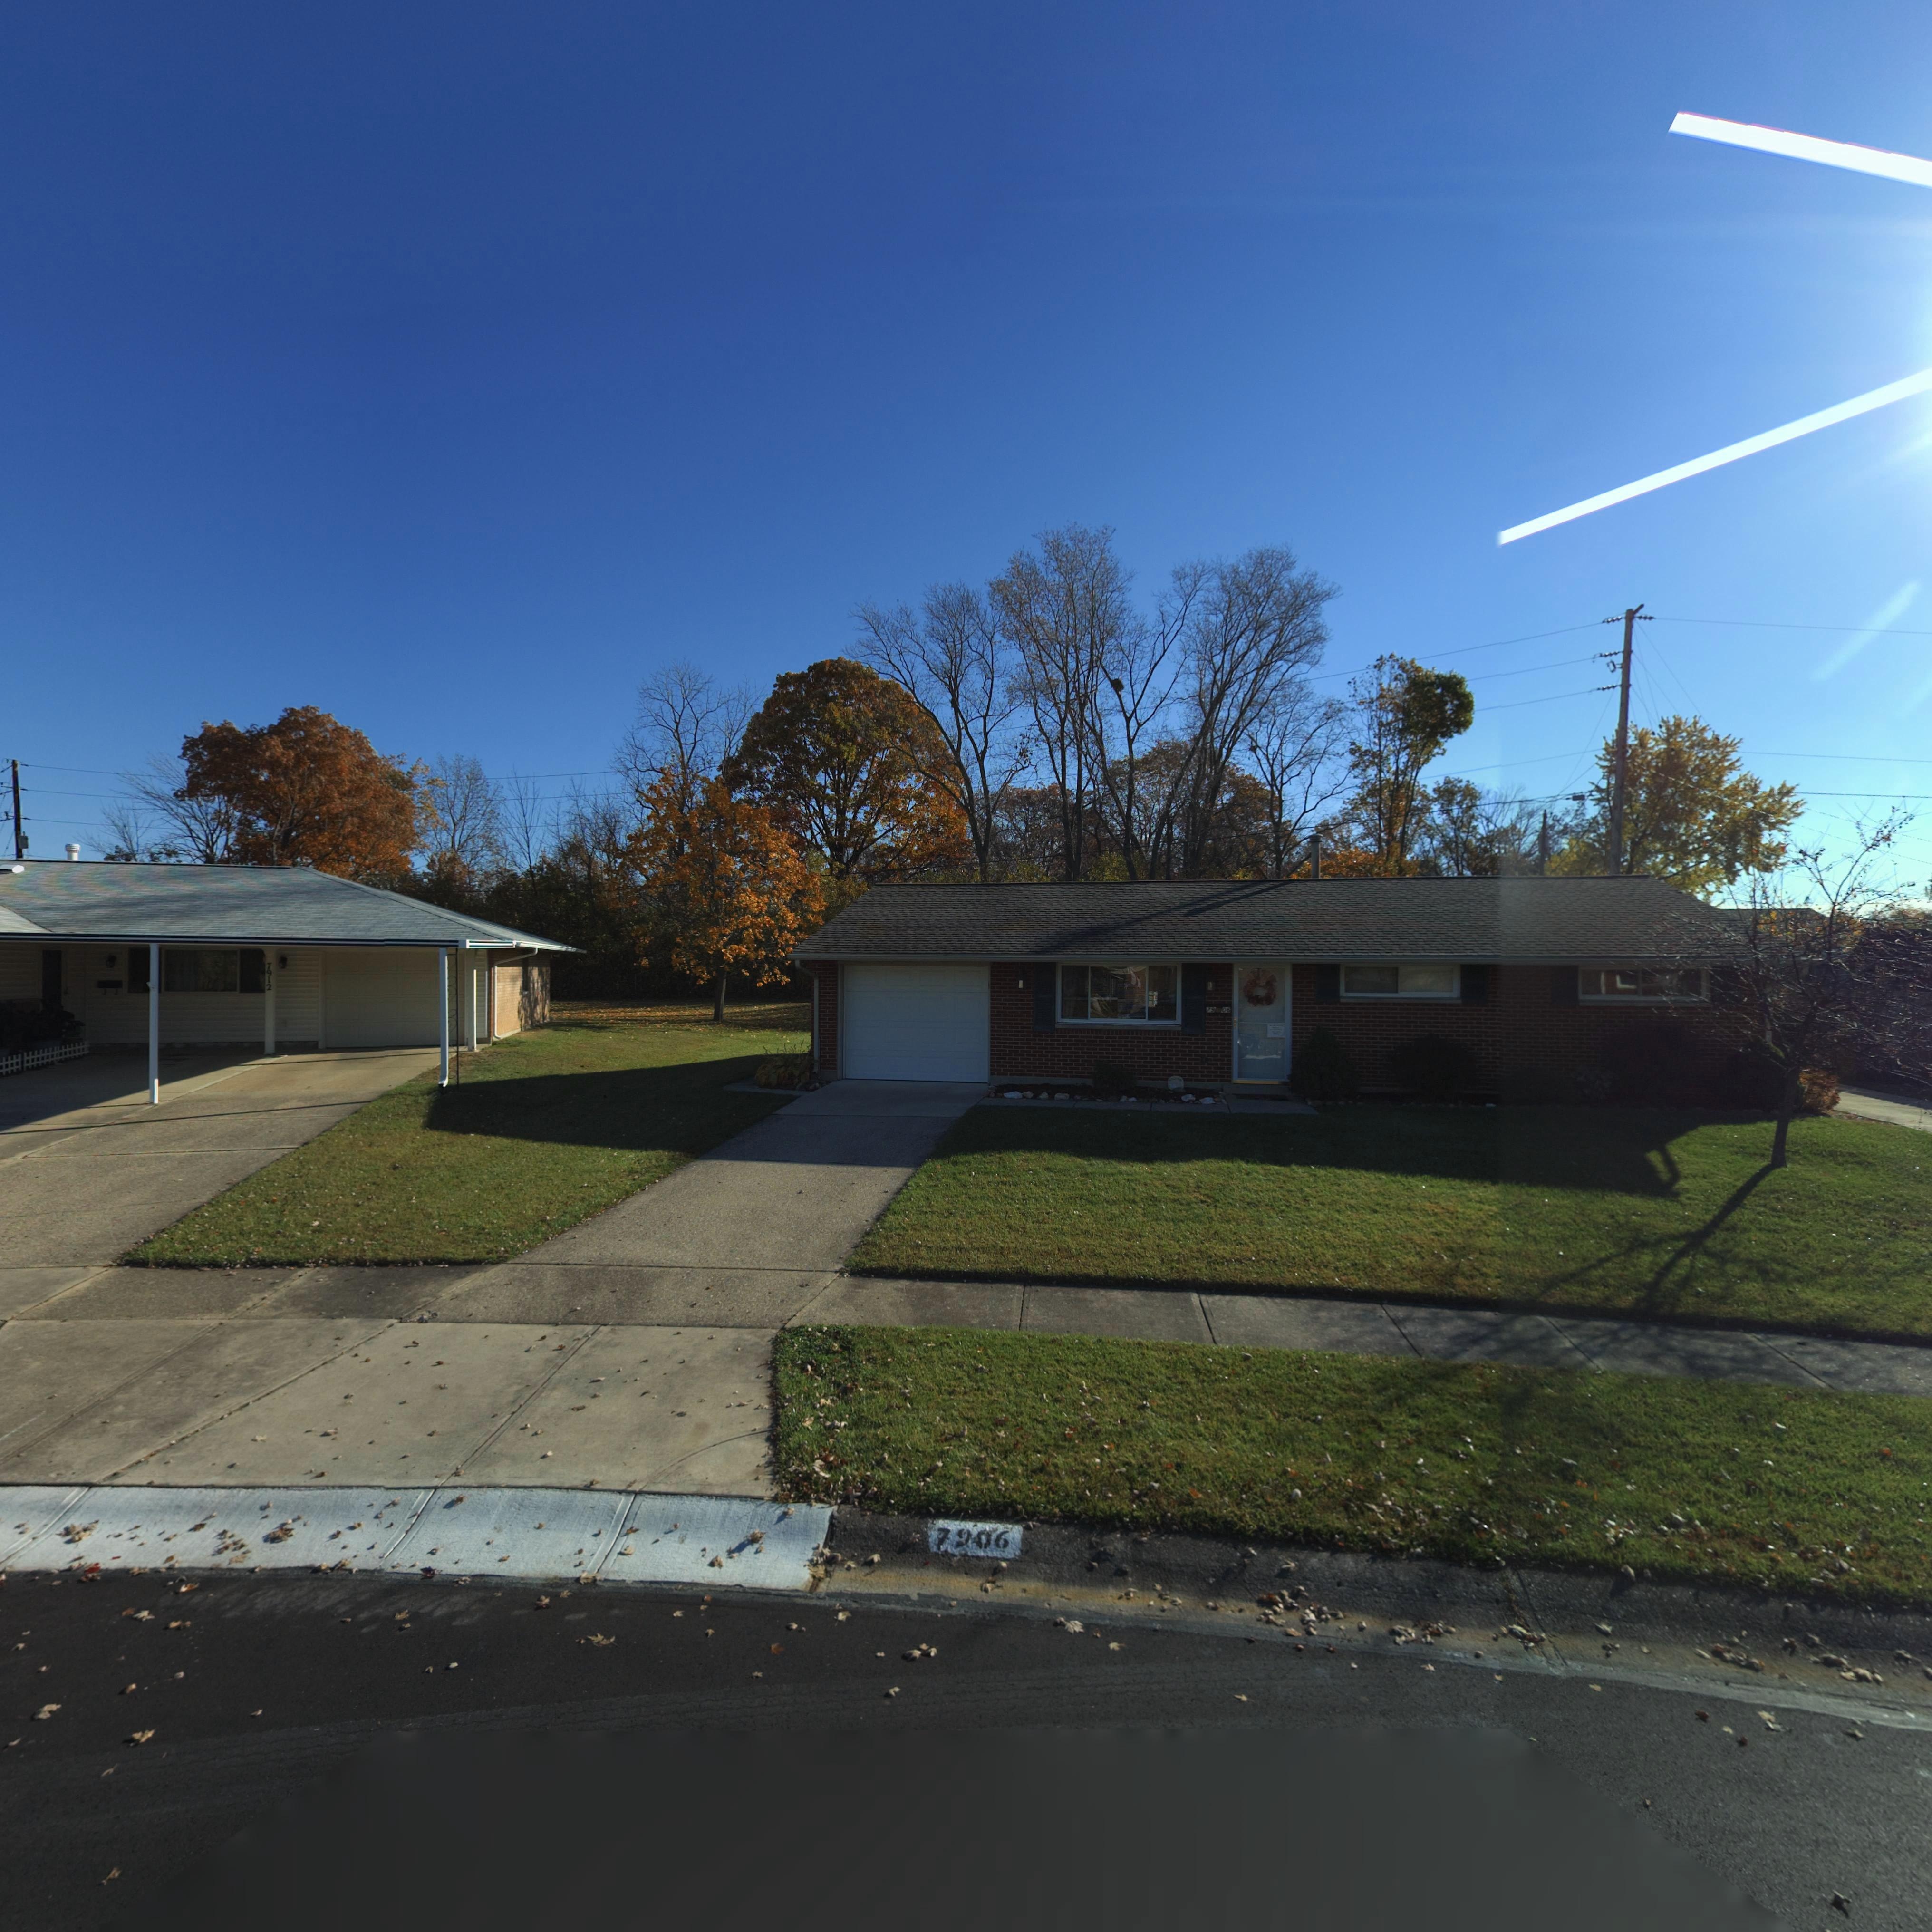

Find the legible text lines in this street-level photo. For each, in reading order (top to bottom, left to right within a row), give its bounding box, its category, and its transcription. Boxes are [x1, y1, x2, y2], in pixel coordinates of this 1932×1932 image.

[265, 961, 273, 992] StreetNumber: 7912
[1206, 1007, 1231, 1013] StreetNumber: 79*06
[935, 1526, 1011, 1551] StreetNumber: 7906